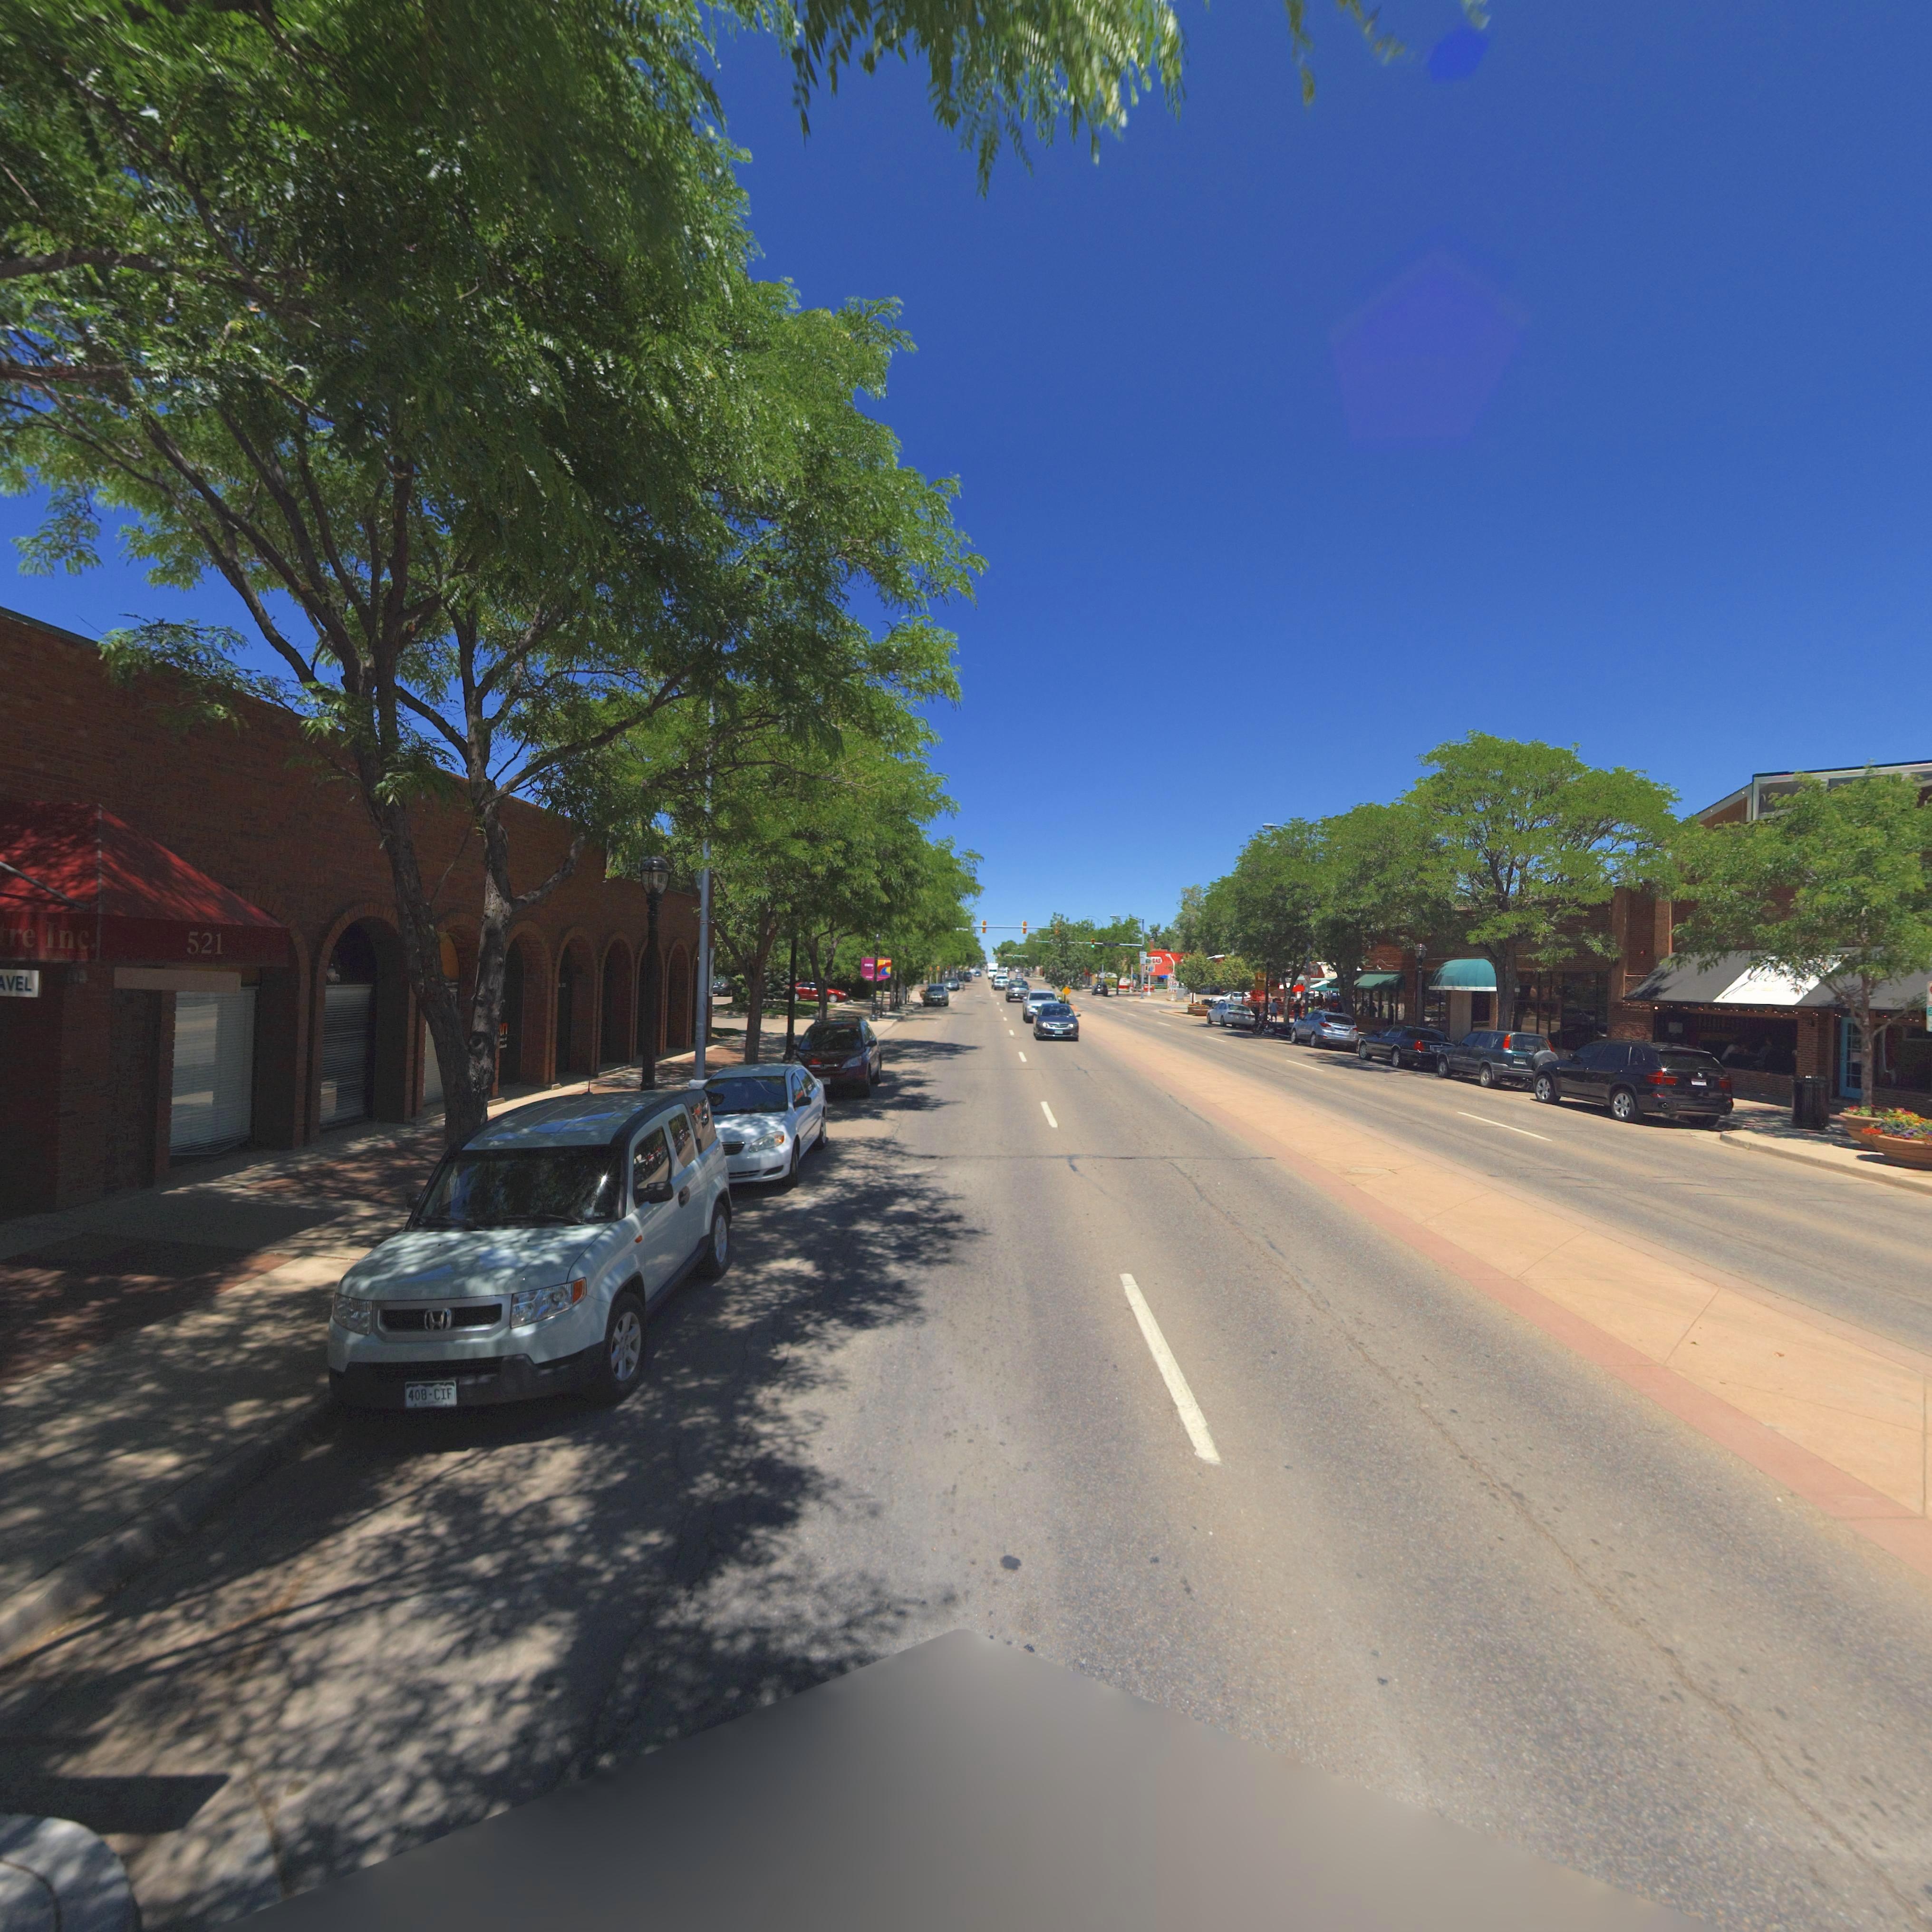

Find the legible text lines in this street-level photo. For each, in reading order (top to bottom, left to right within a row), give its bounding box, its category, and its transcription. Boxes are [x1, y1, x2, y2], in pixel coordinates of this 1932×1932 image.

[5, 920, 98, 950] BusinessName: re Inc.
[185, 929, 223, 956] StreetNumber: 521
[5, 974, 32, 993] BusinessName: VEL
[501, 1022, 508, 1034] BusinessName: n